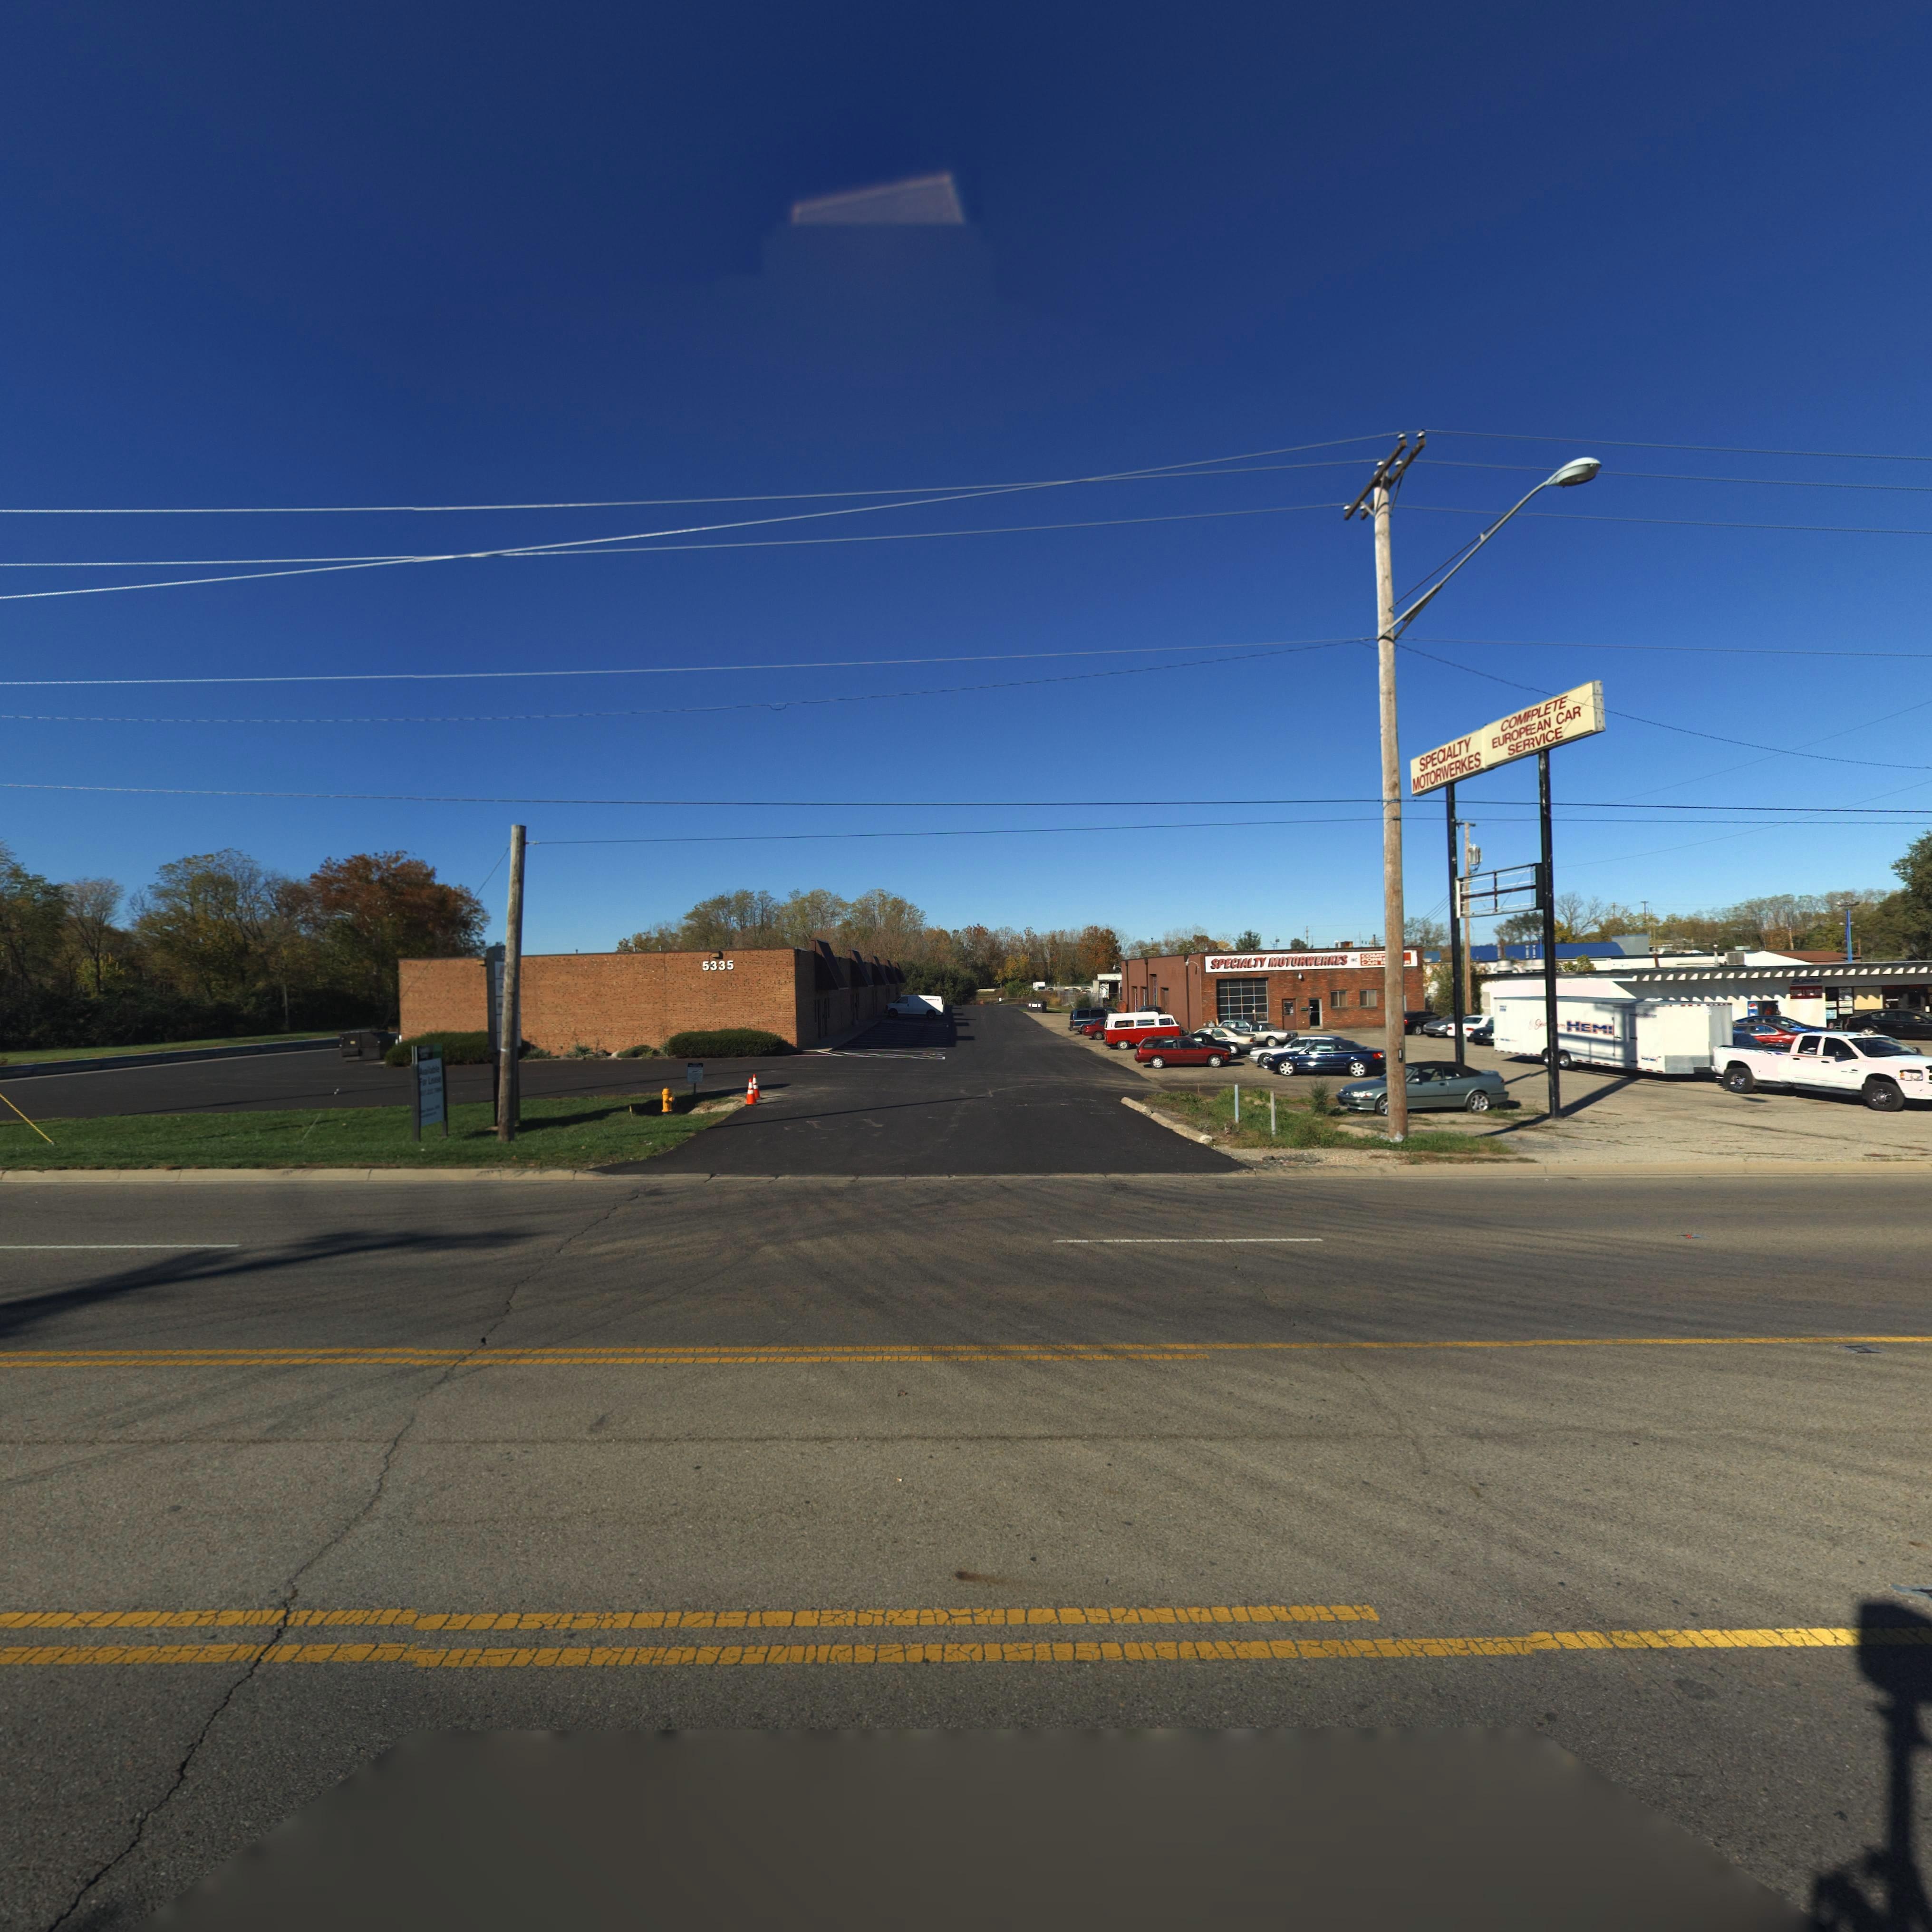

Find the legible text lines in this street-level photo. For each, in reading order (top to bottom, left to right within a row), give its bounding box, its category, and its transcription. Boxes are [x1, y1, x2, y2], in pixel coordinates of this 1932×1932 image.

[702, 959, 734, 971] StreetNumber: 5335